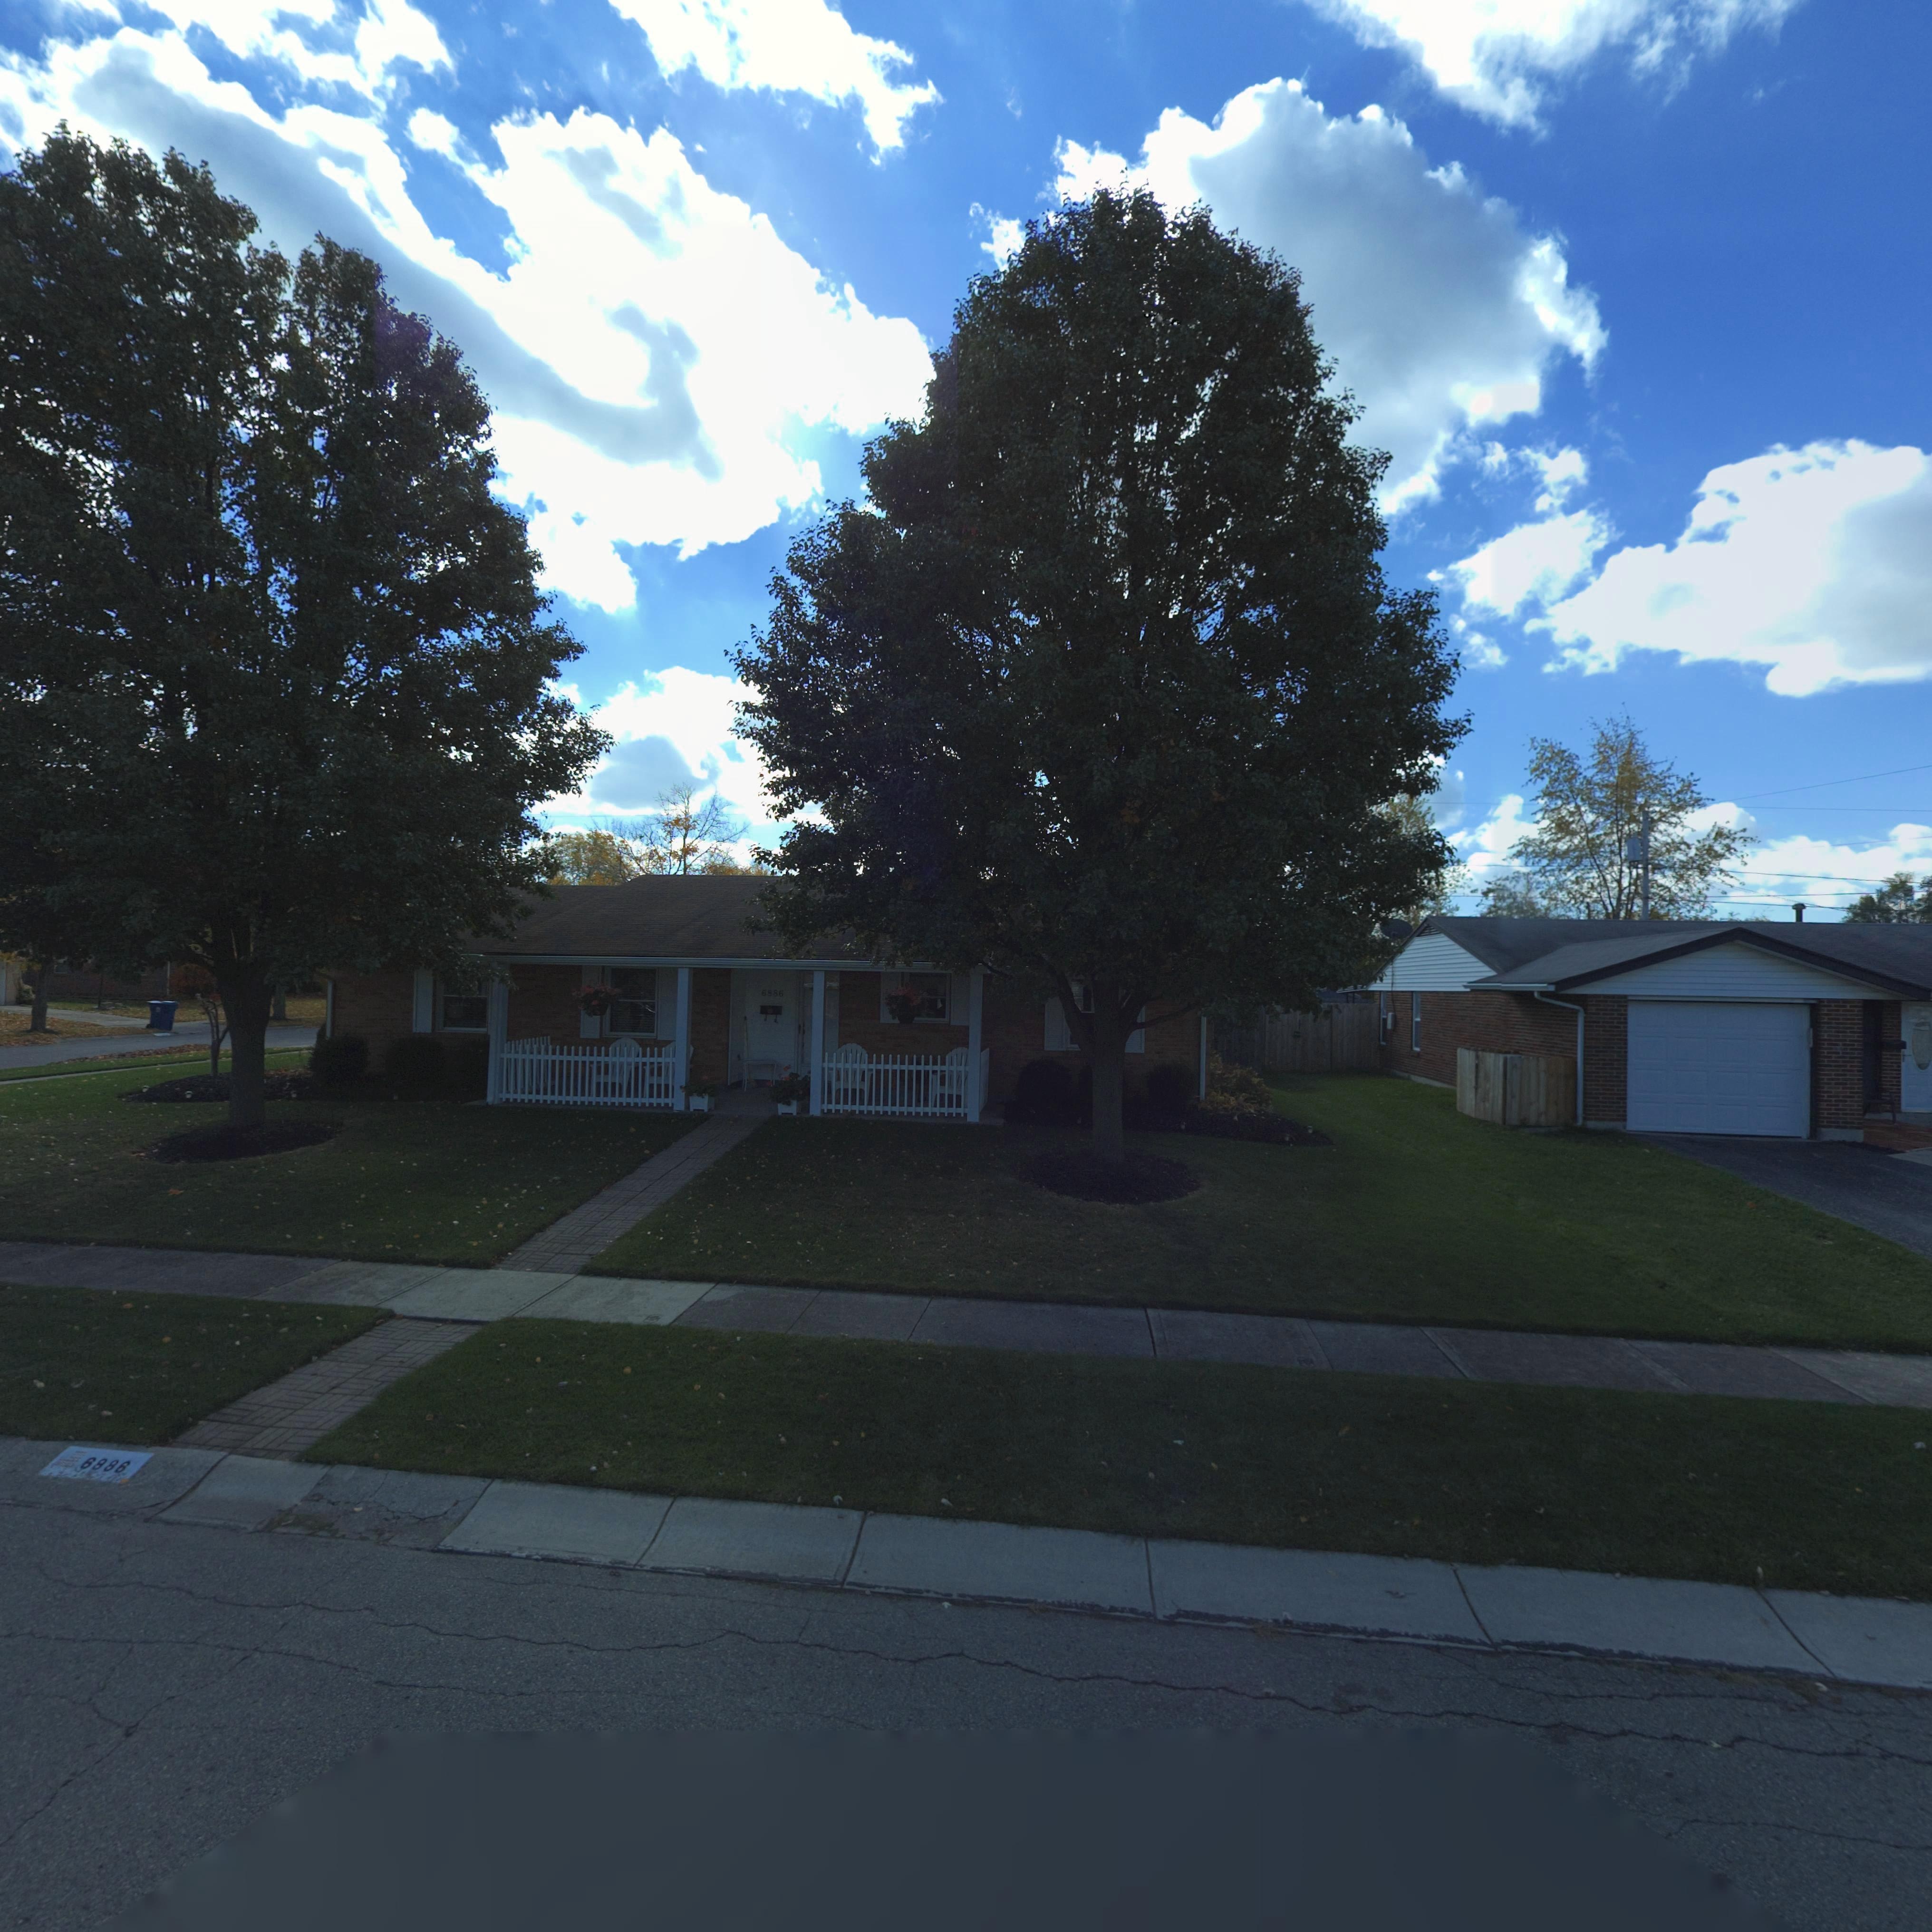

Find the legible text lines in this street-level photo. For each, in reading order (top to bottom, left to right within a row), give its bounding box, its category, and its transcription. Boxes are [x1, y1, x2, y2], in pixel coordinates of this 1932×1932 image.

[761, 989, 783, 997] StreetNumber: 6886
[79, 1456, 132, 1474] StreetNumber: 6886